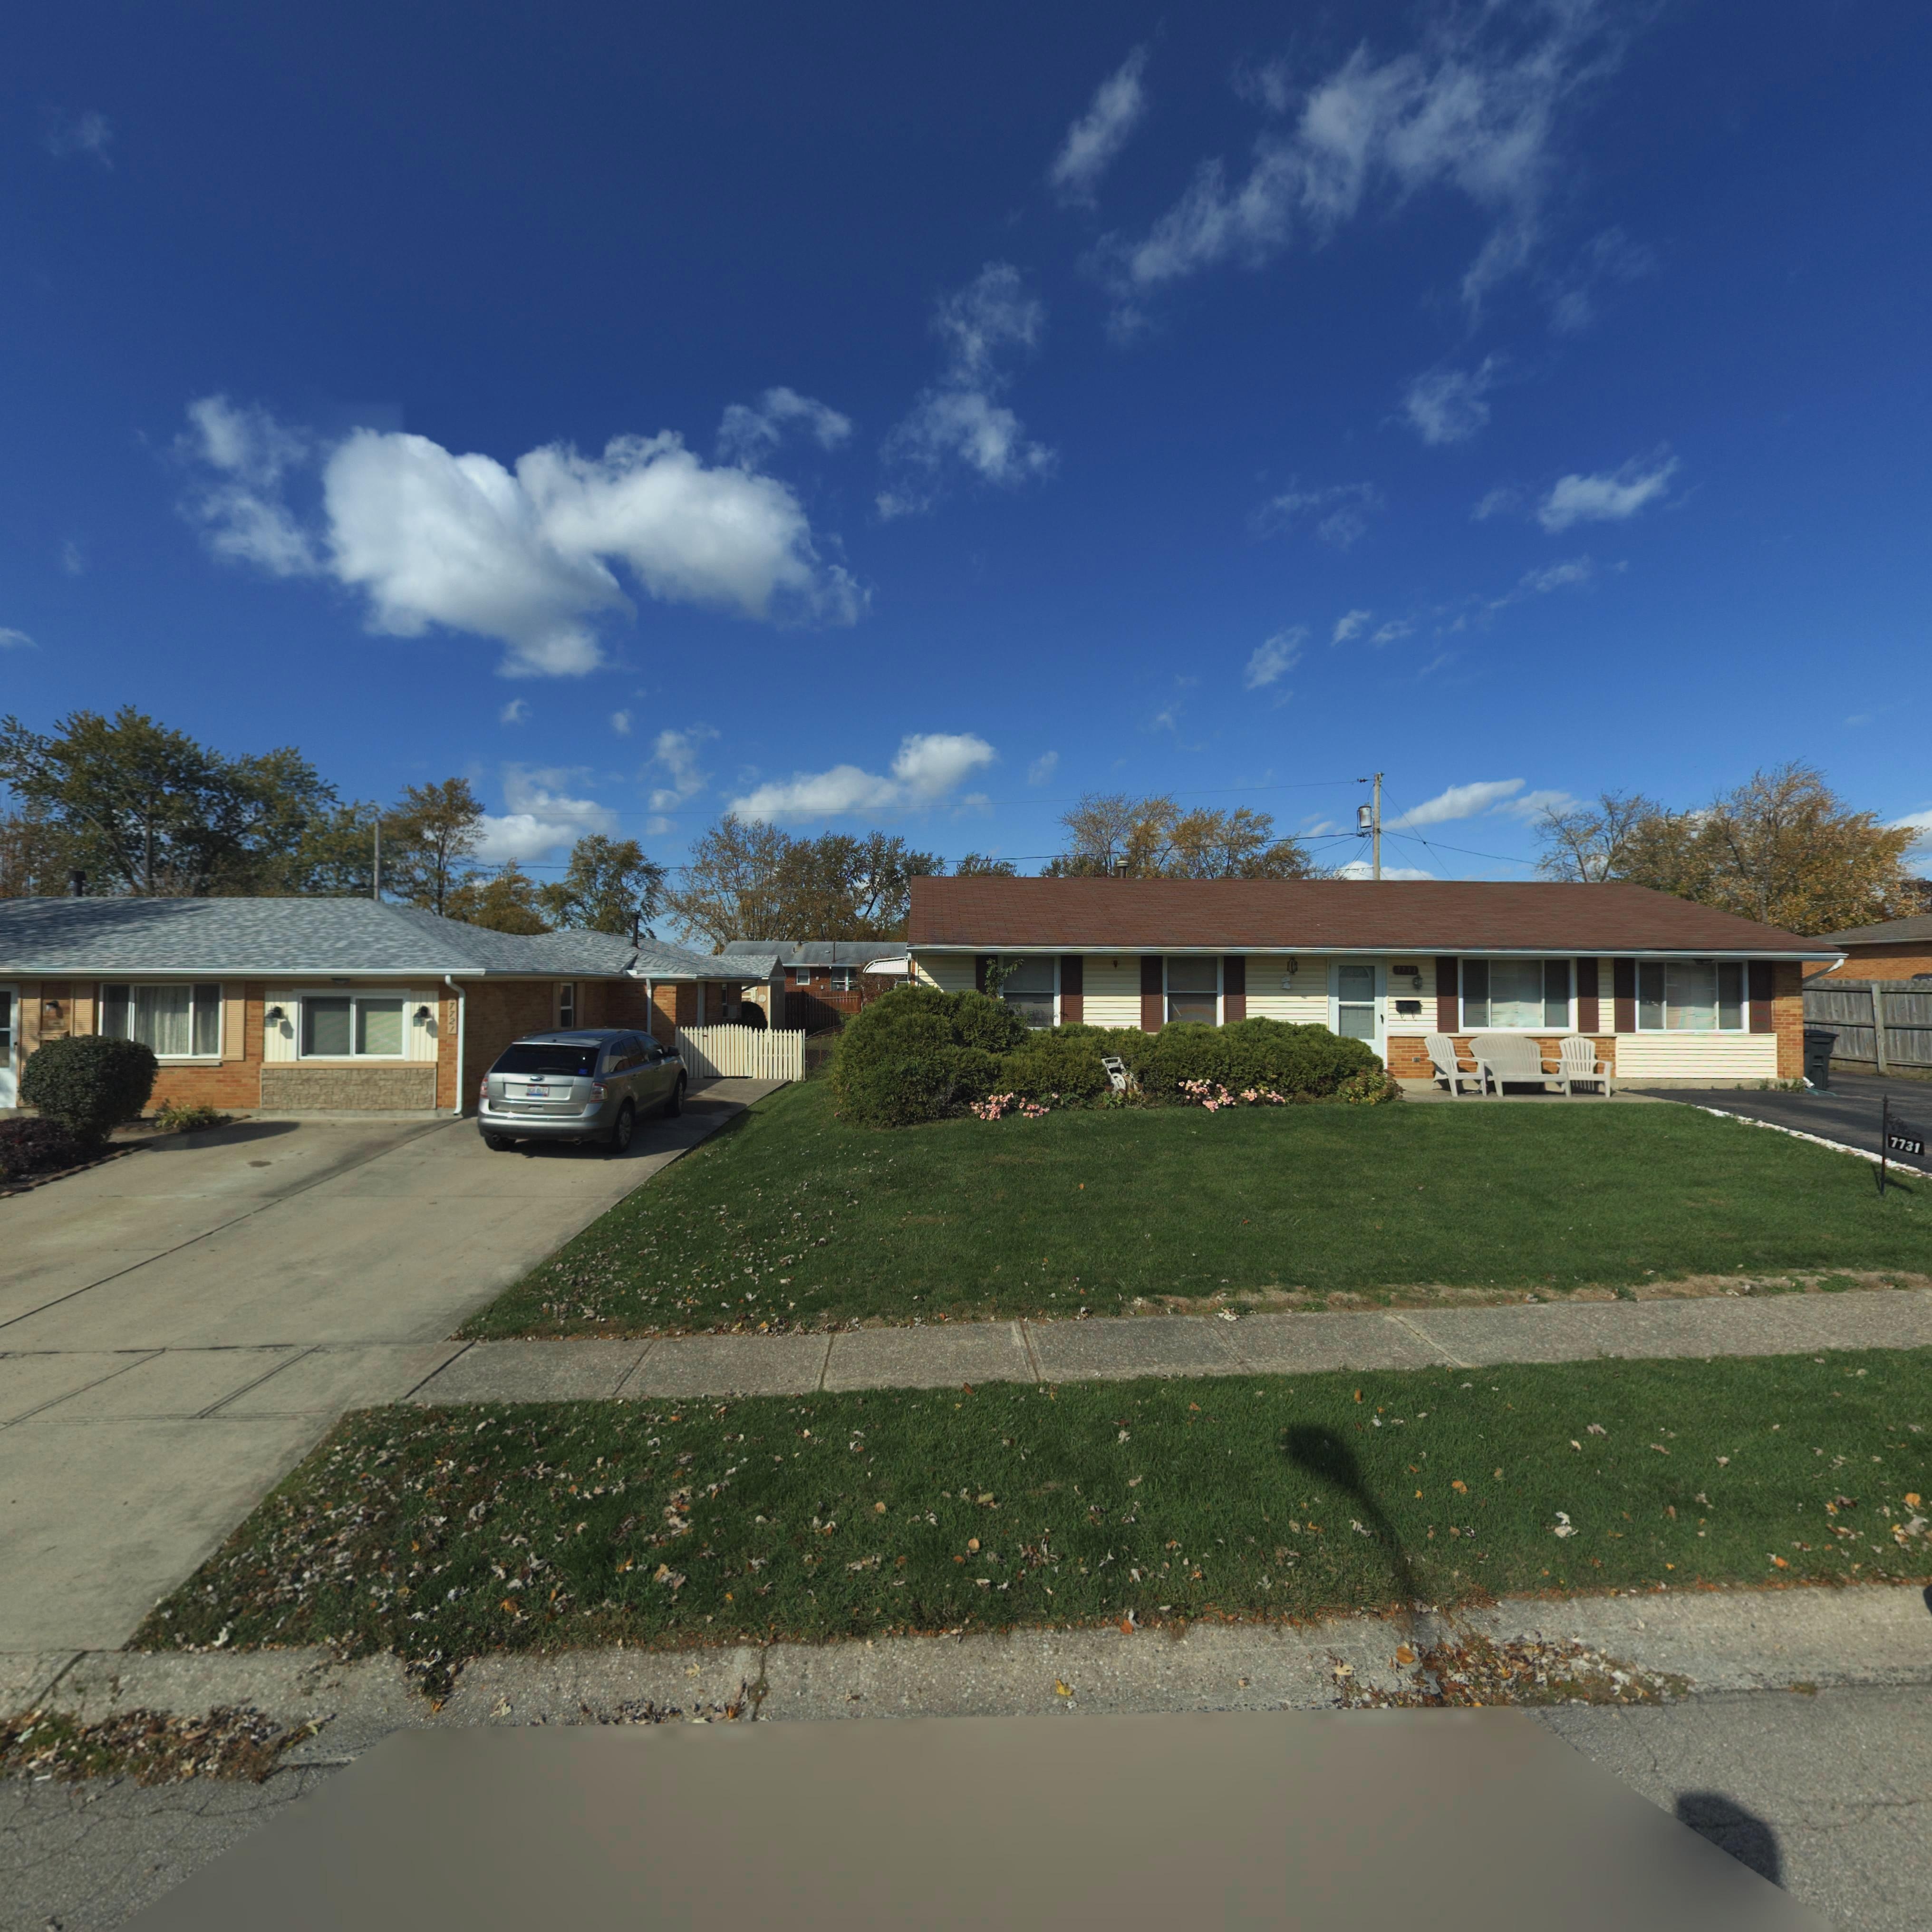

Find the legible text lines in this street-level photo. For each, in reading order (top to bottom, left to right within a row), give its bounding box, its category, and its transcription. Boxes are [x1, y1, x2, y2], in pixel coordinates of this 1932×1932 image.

[1396, 966, 1416, 974] StreetNumber: 7731
[448, 1002, 456, 1034] StreetNumber: 7721
[1890, 1136, 1921, 1154] StreetNumber: 7731